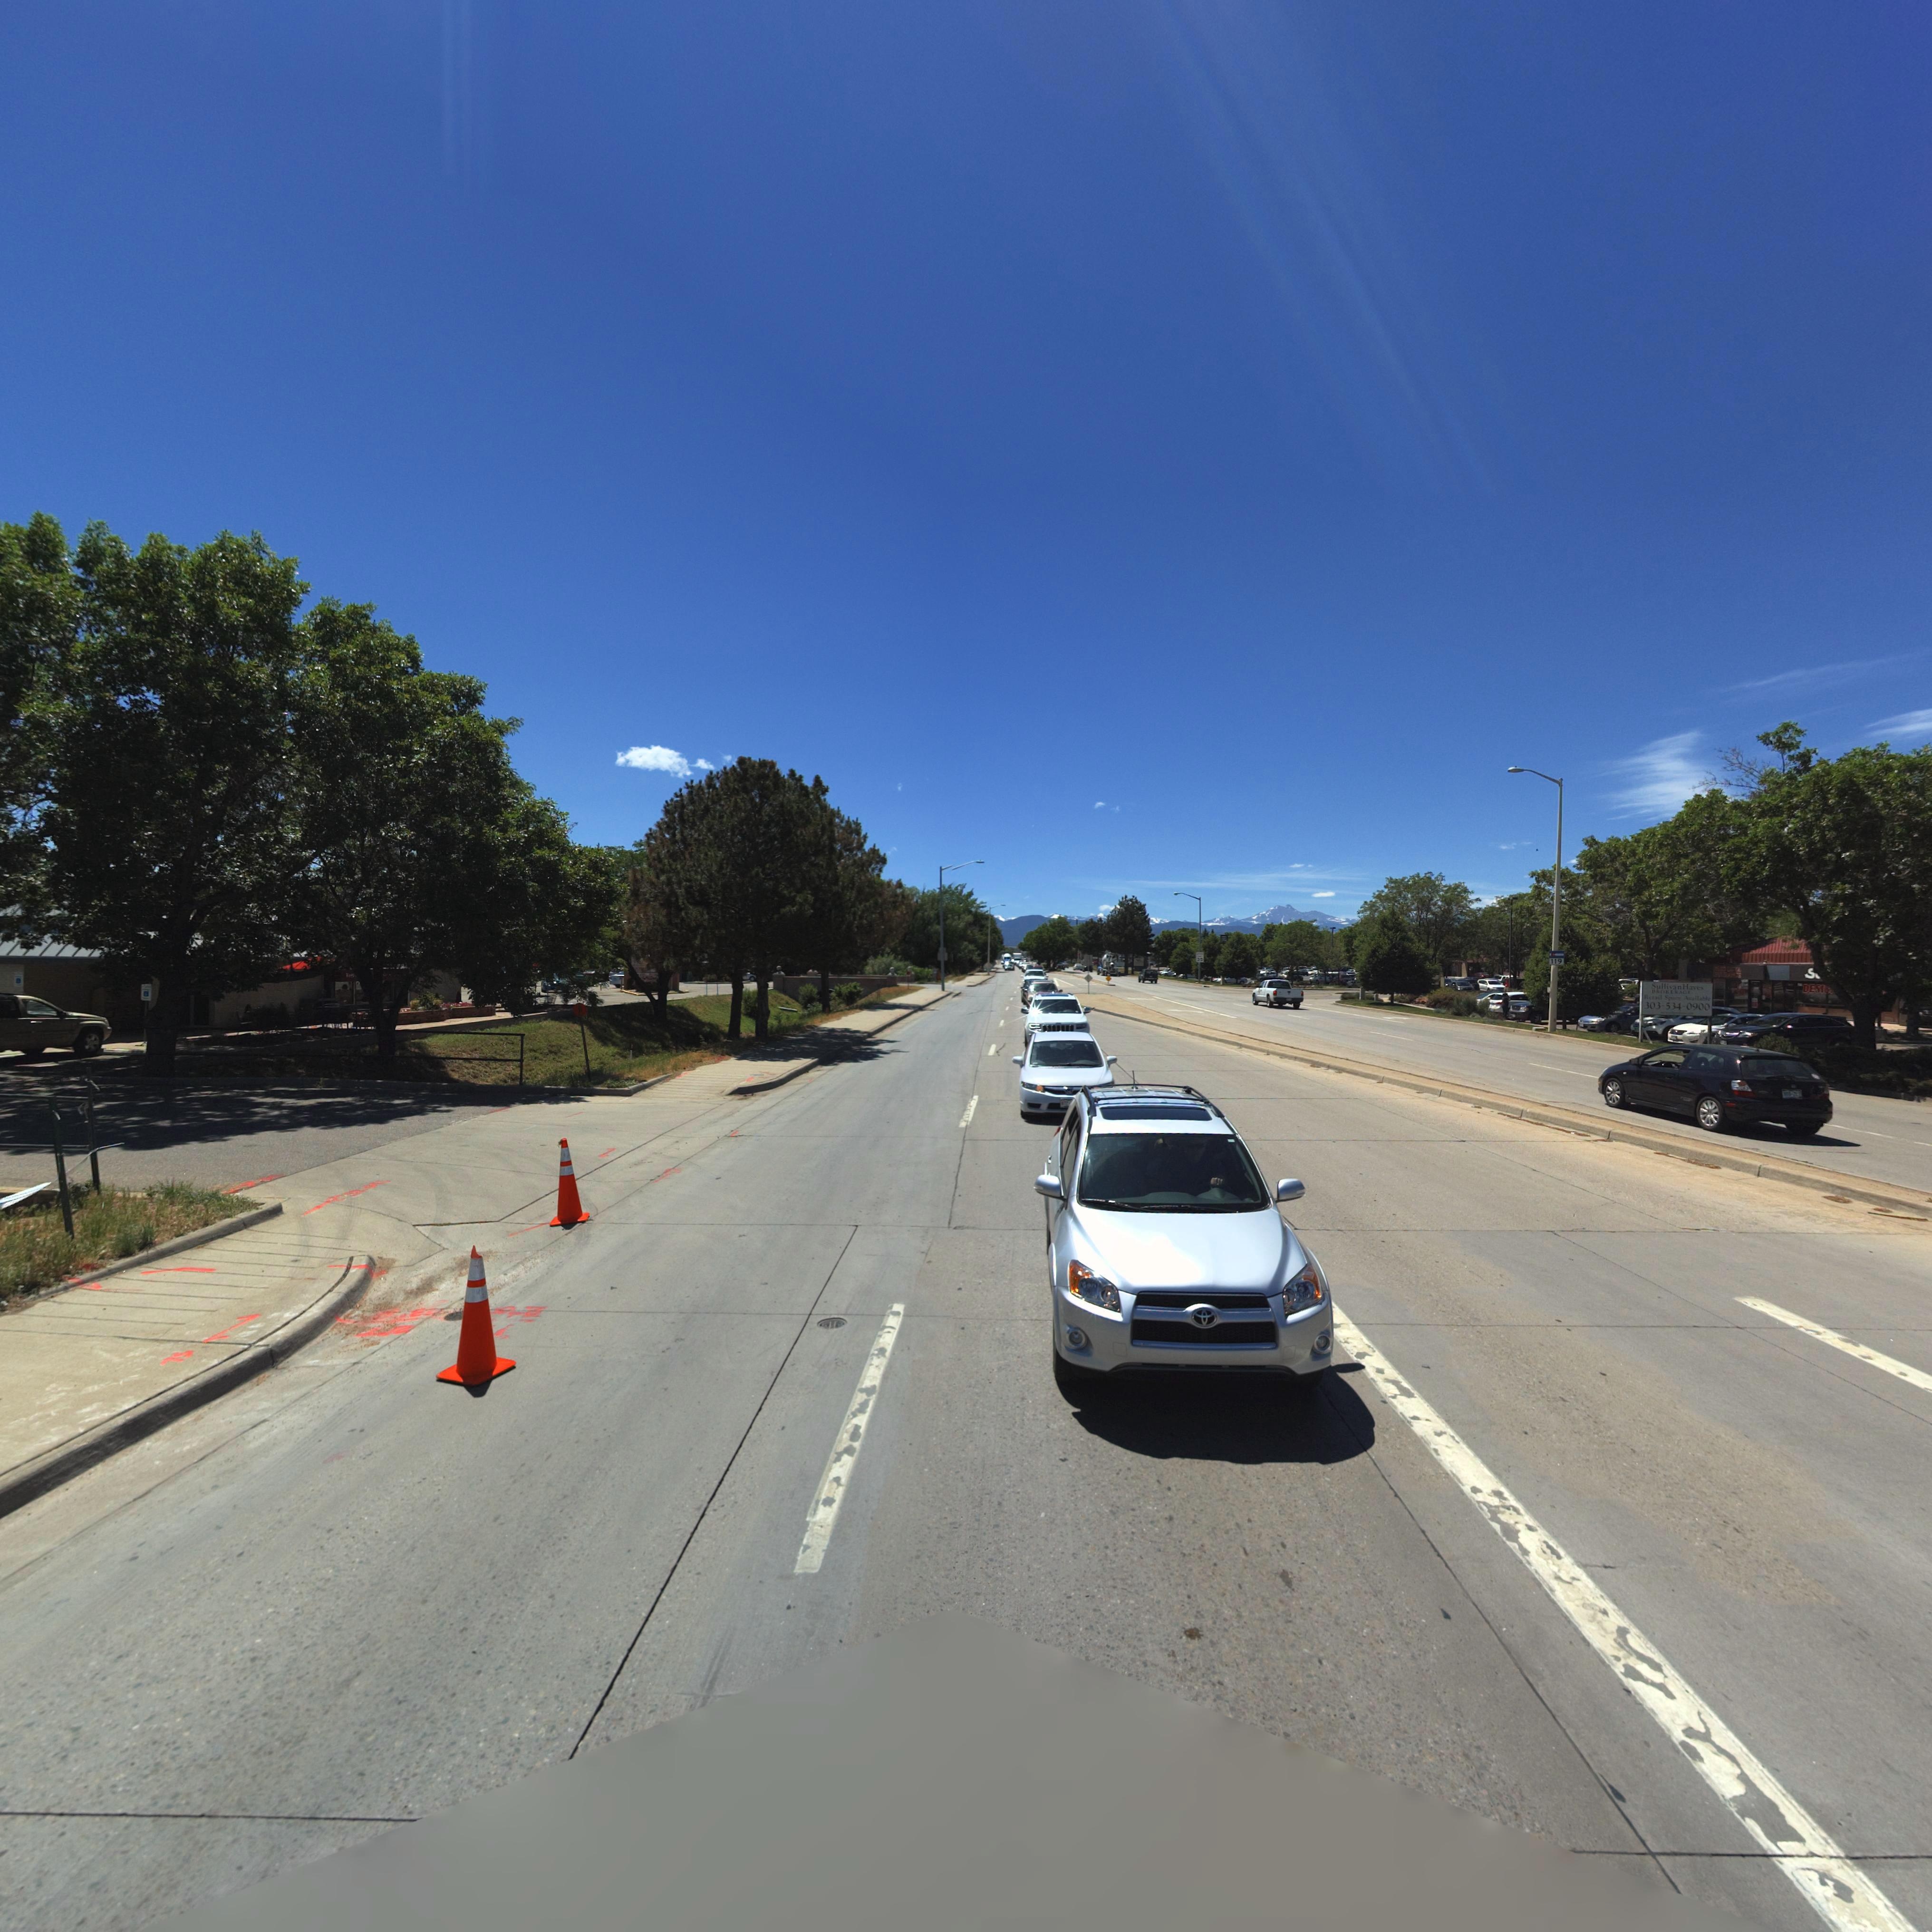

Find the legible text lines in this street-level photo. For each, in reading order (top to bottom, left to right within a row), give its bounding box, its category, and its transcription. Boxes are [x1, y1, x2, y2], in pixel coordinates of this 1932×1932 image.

[1807, 967, 1860, 979] BusinessName: S*****